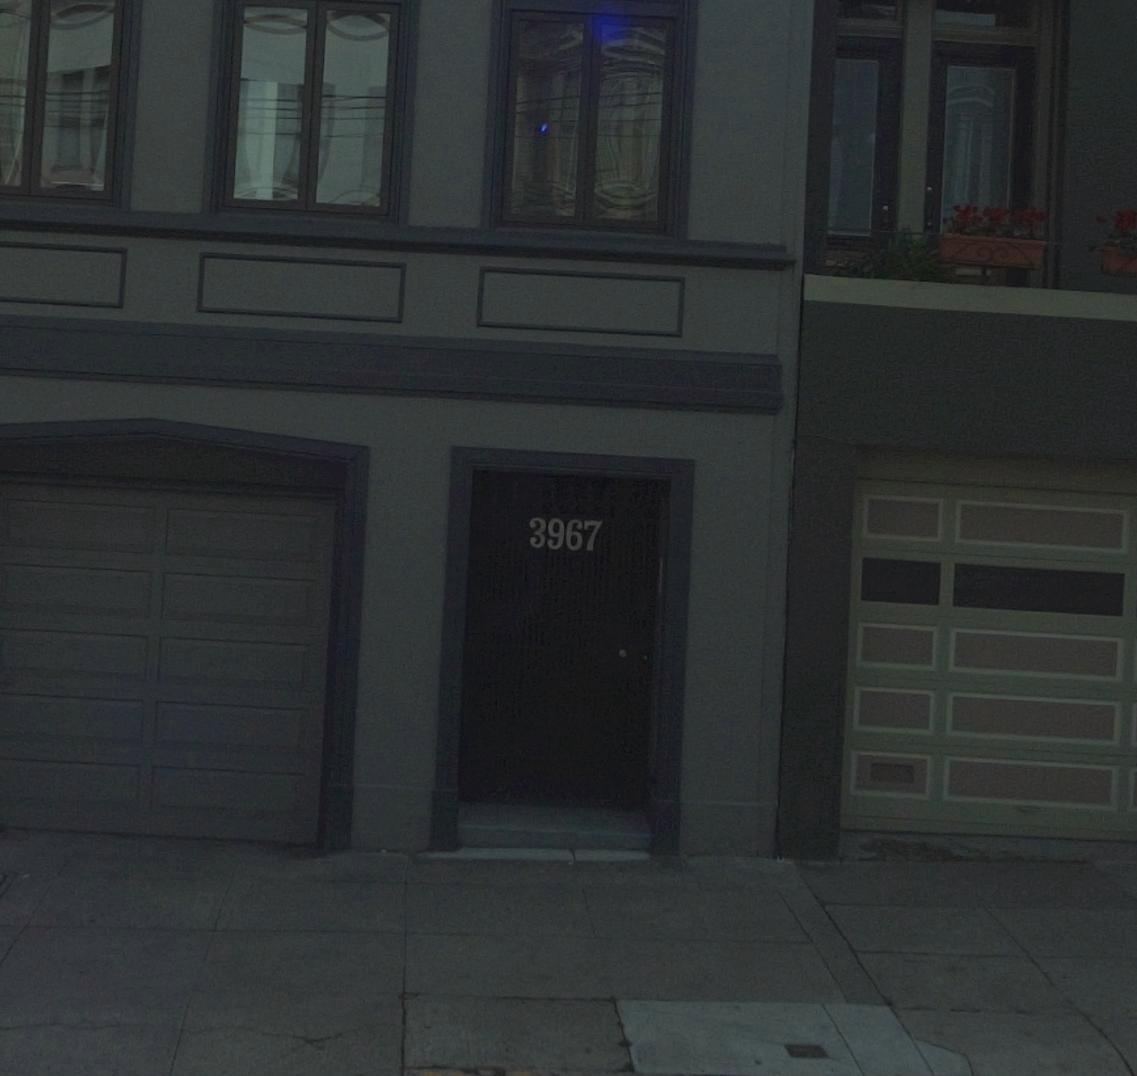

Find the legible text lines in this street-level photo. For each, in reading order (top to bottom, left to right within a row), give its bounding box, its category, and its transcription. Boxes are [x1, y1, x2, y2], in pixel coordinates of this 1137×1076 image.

[528, 516, 604, 553] StreetNumber: 3967